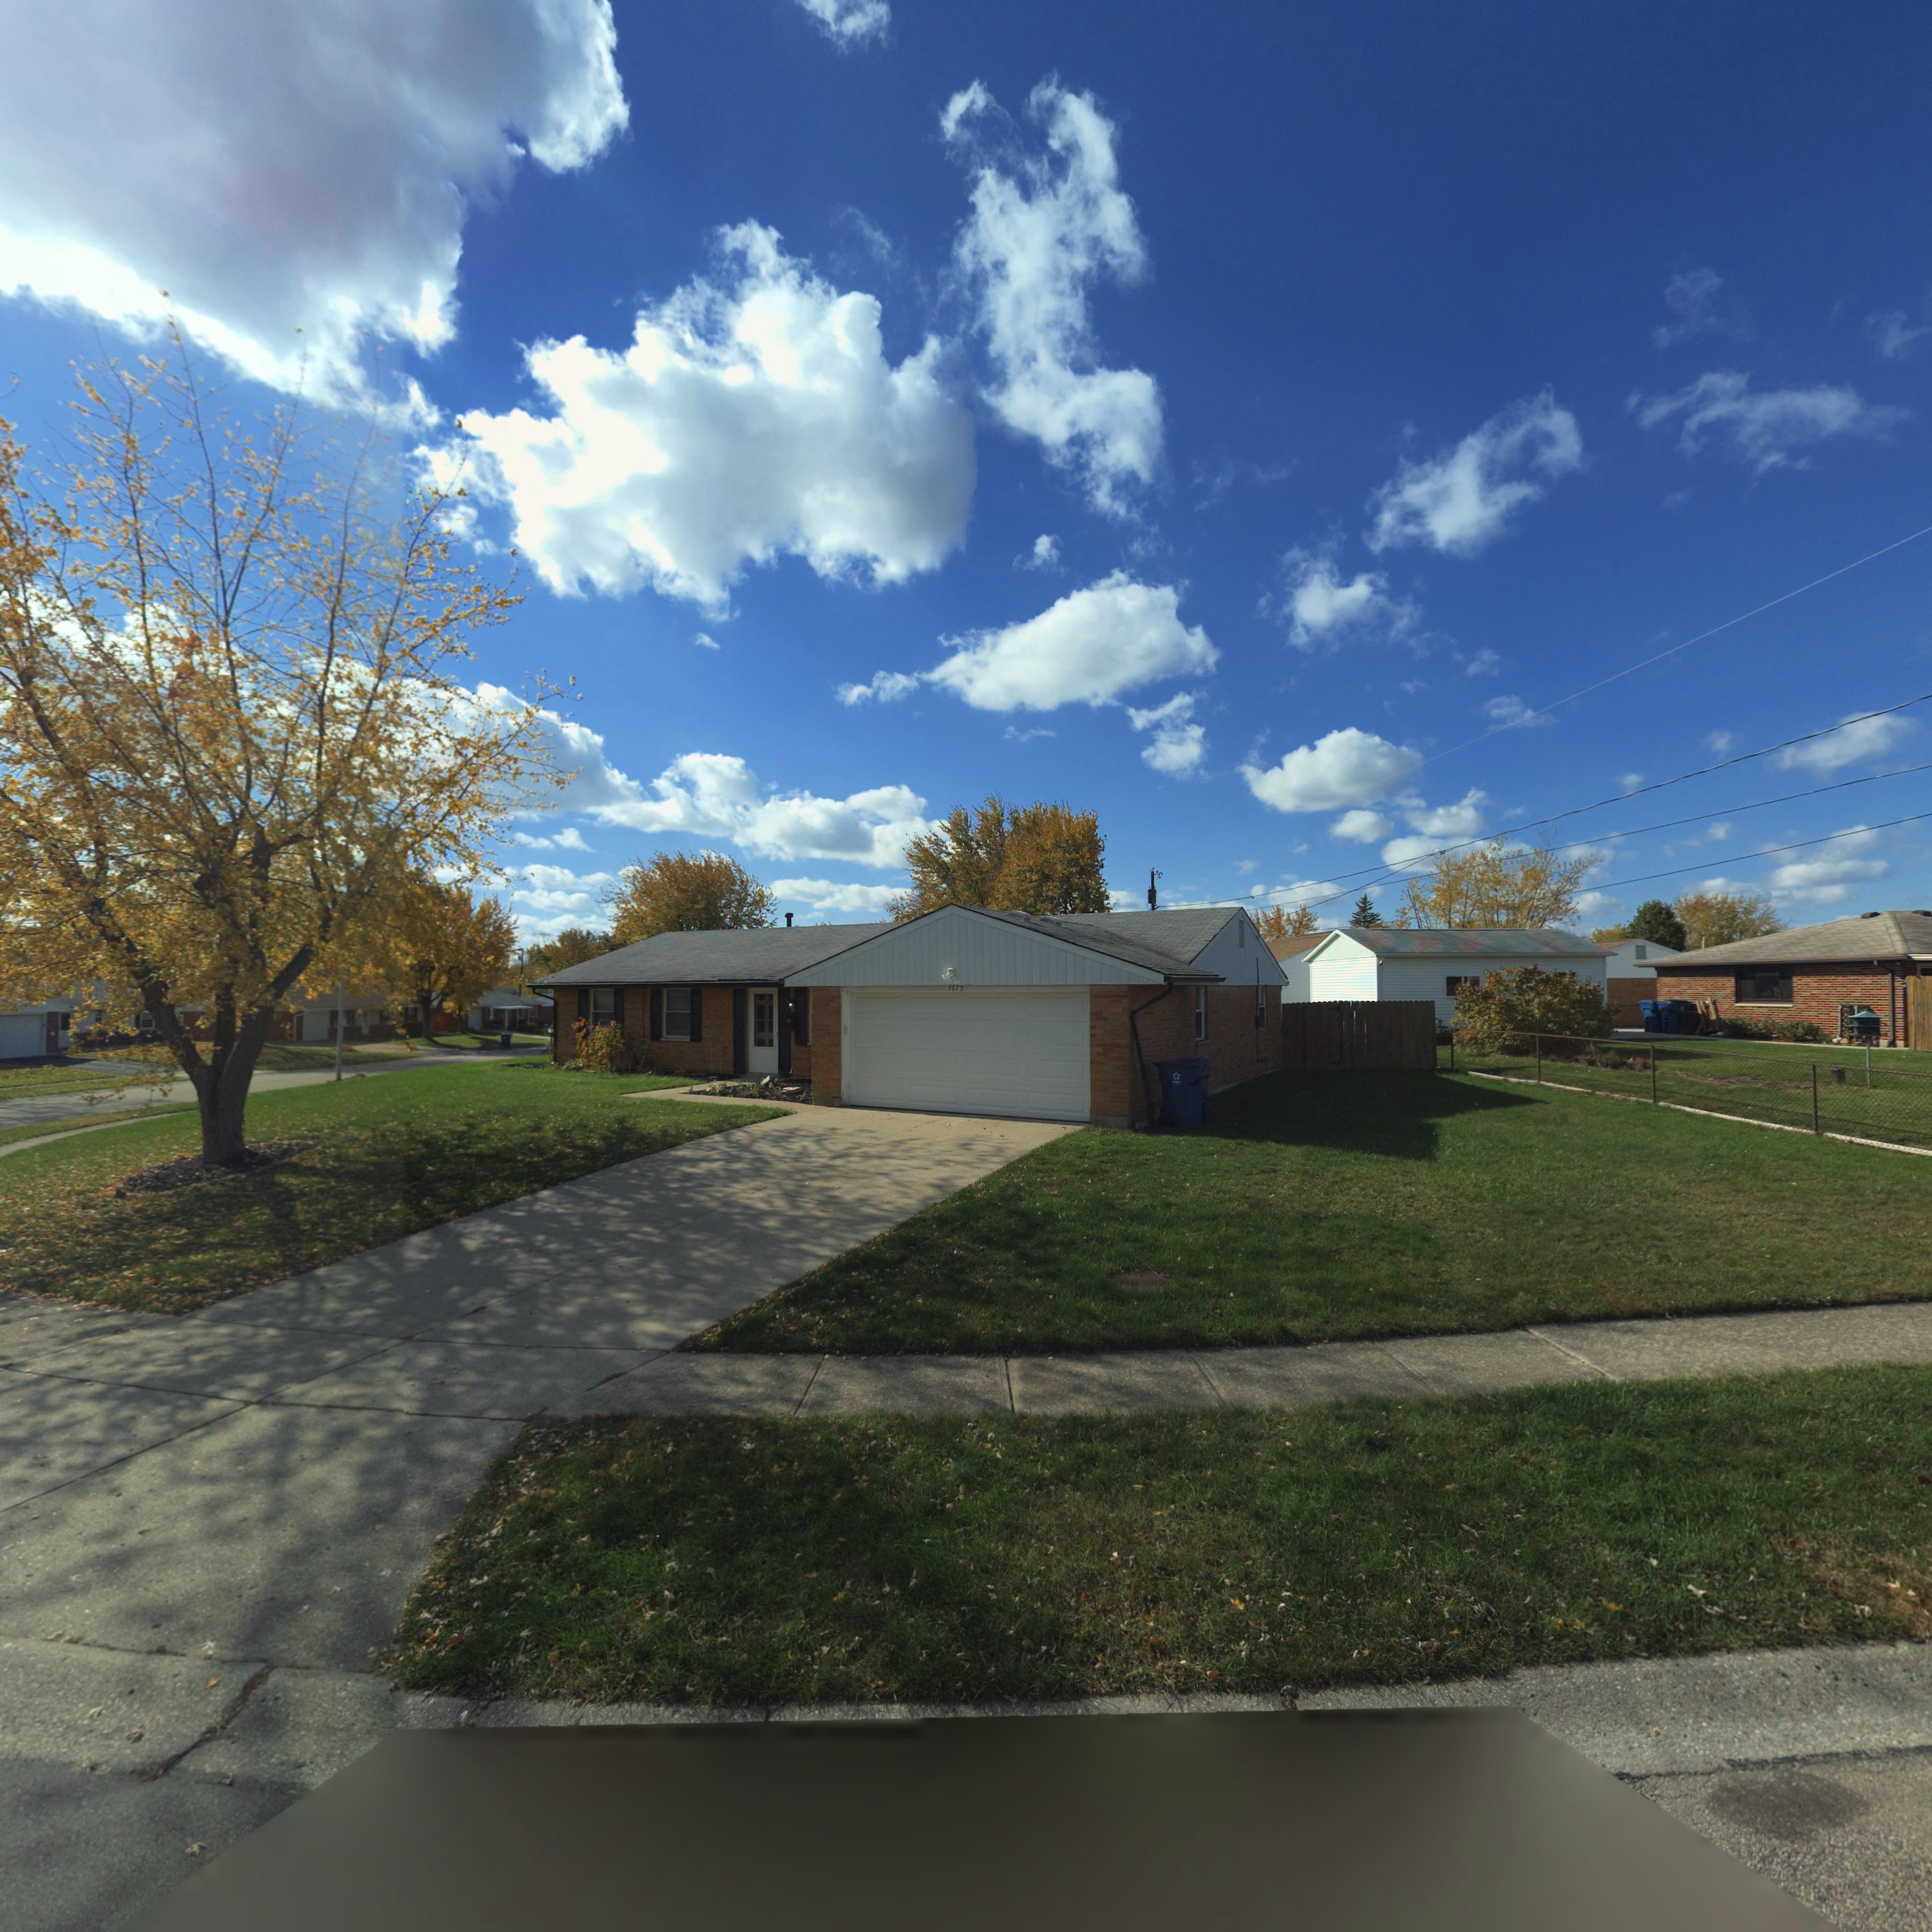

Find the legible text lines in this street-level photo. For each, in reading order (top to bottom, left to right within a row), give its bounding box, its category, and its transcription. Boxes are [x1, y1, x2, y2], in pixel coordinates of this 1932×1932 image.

[947, 985, 964, 992] StreetNumber: 7675